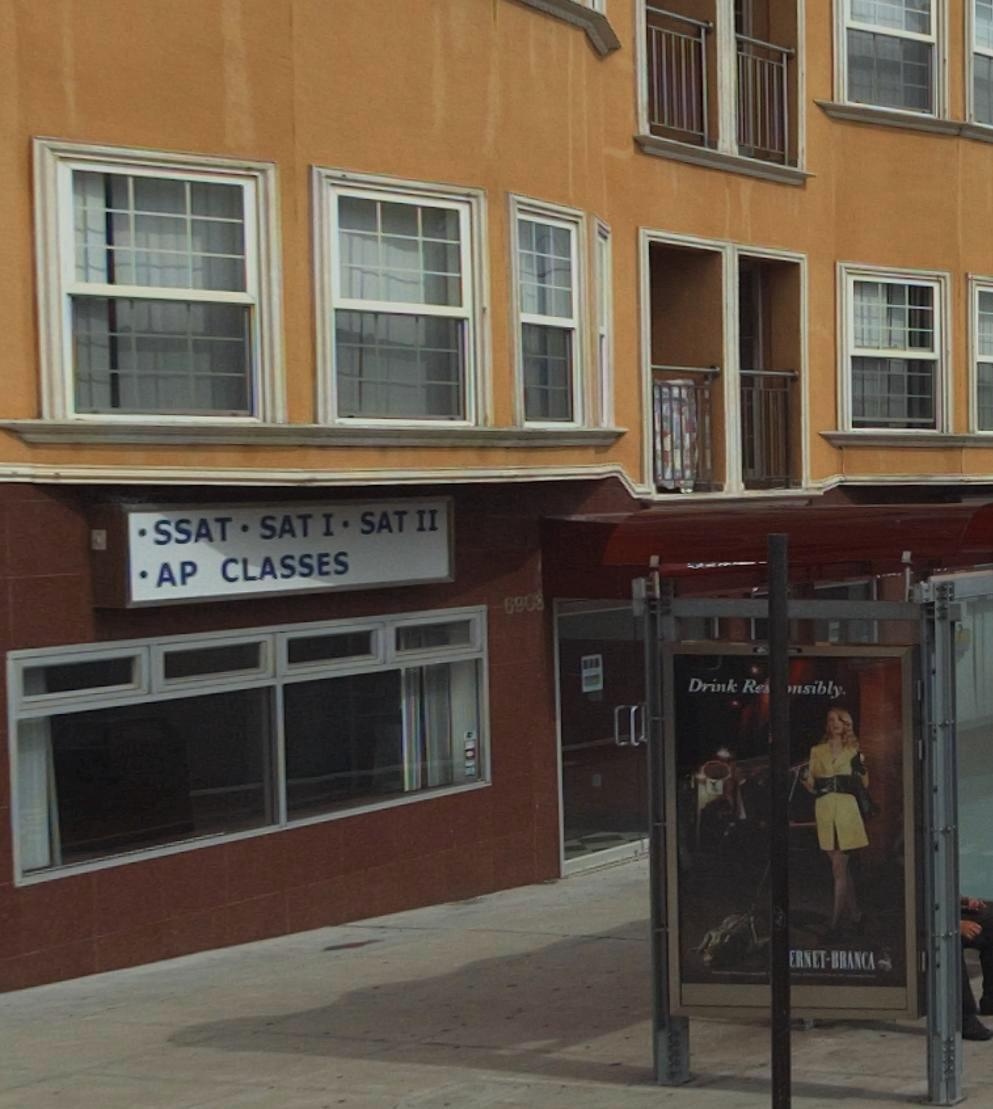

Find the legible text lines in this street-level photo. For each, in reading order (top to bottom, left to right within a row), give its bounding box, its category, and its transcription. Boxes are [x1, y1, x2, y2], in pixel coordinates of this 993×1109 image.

[134, 506, 441, 547] None: -SSAT - SAT I - SAT II
[138, 548, 352, 590] None: -AP Classes
[501, 589, 547, 616] StreetNumber: 6903
[684, 675, 850, 701] None: Drink Re**nsibly.
[785, 949, 880, 972] None: ERNET-BRANCA